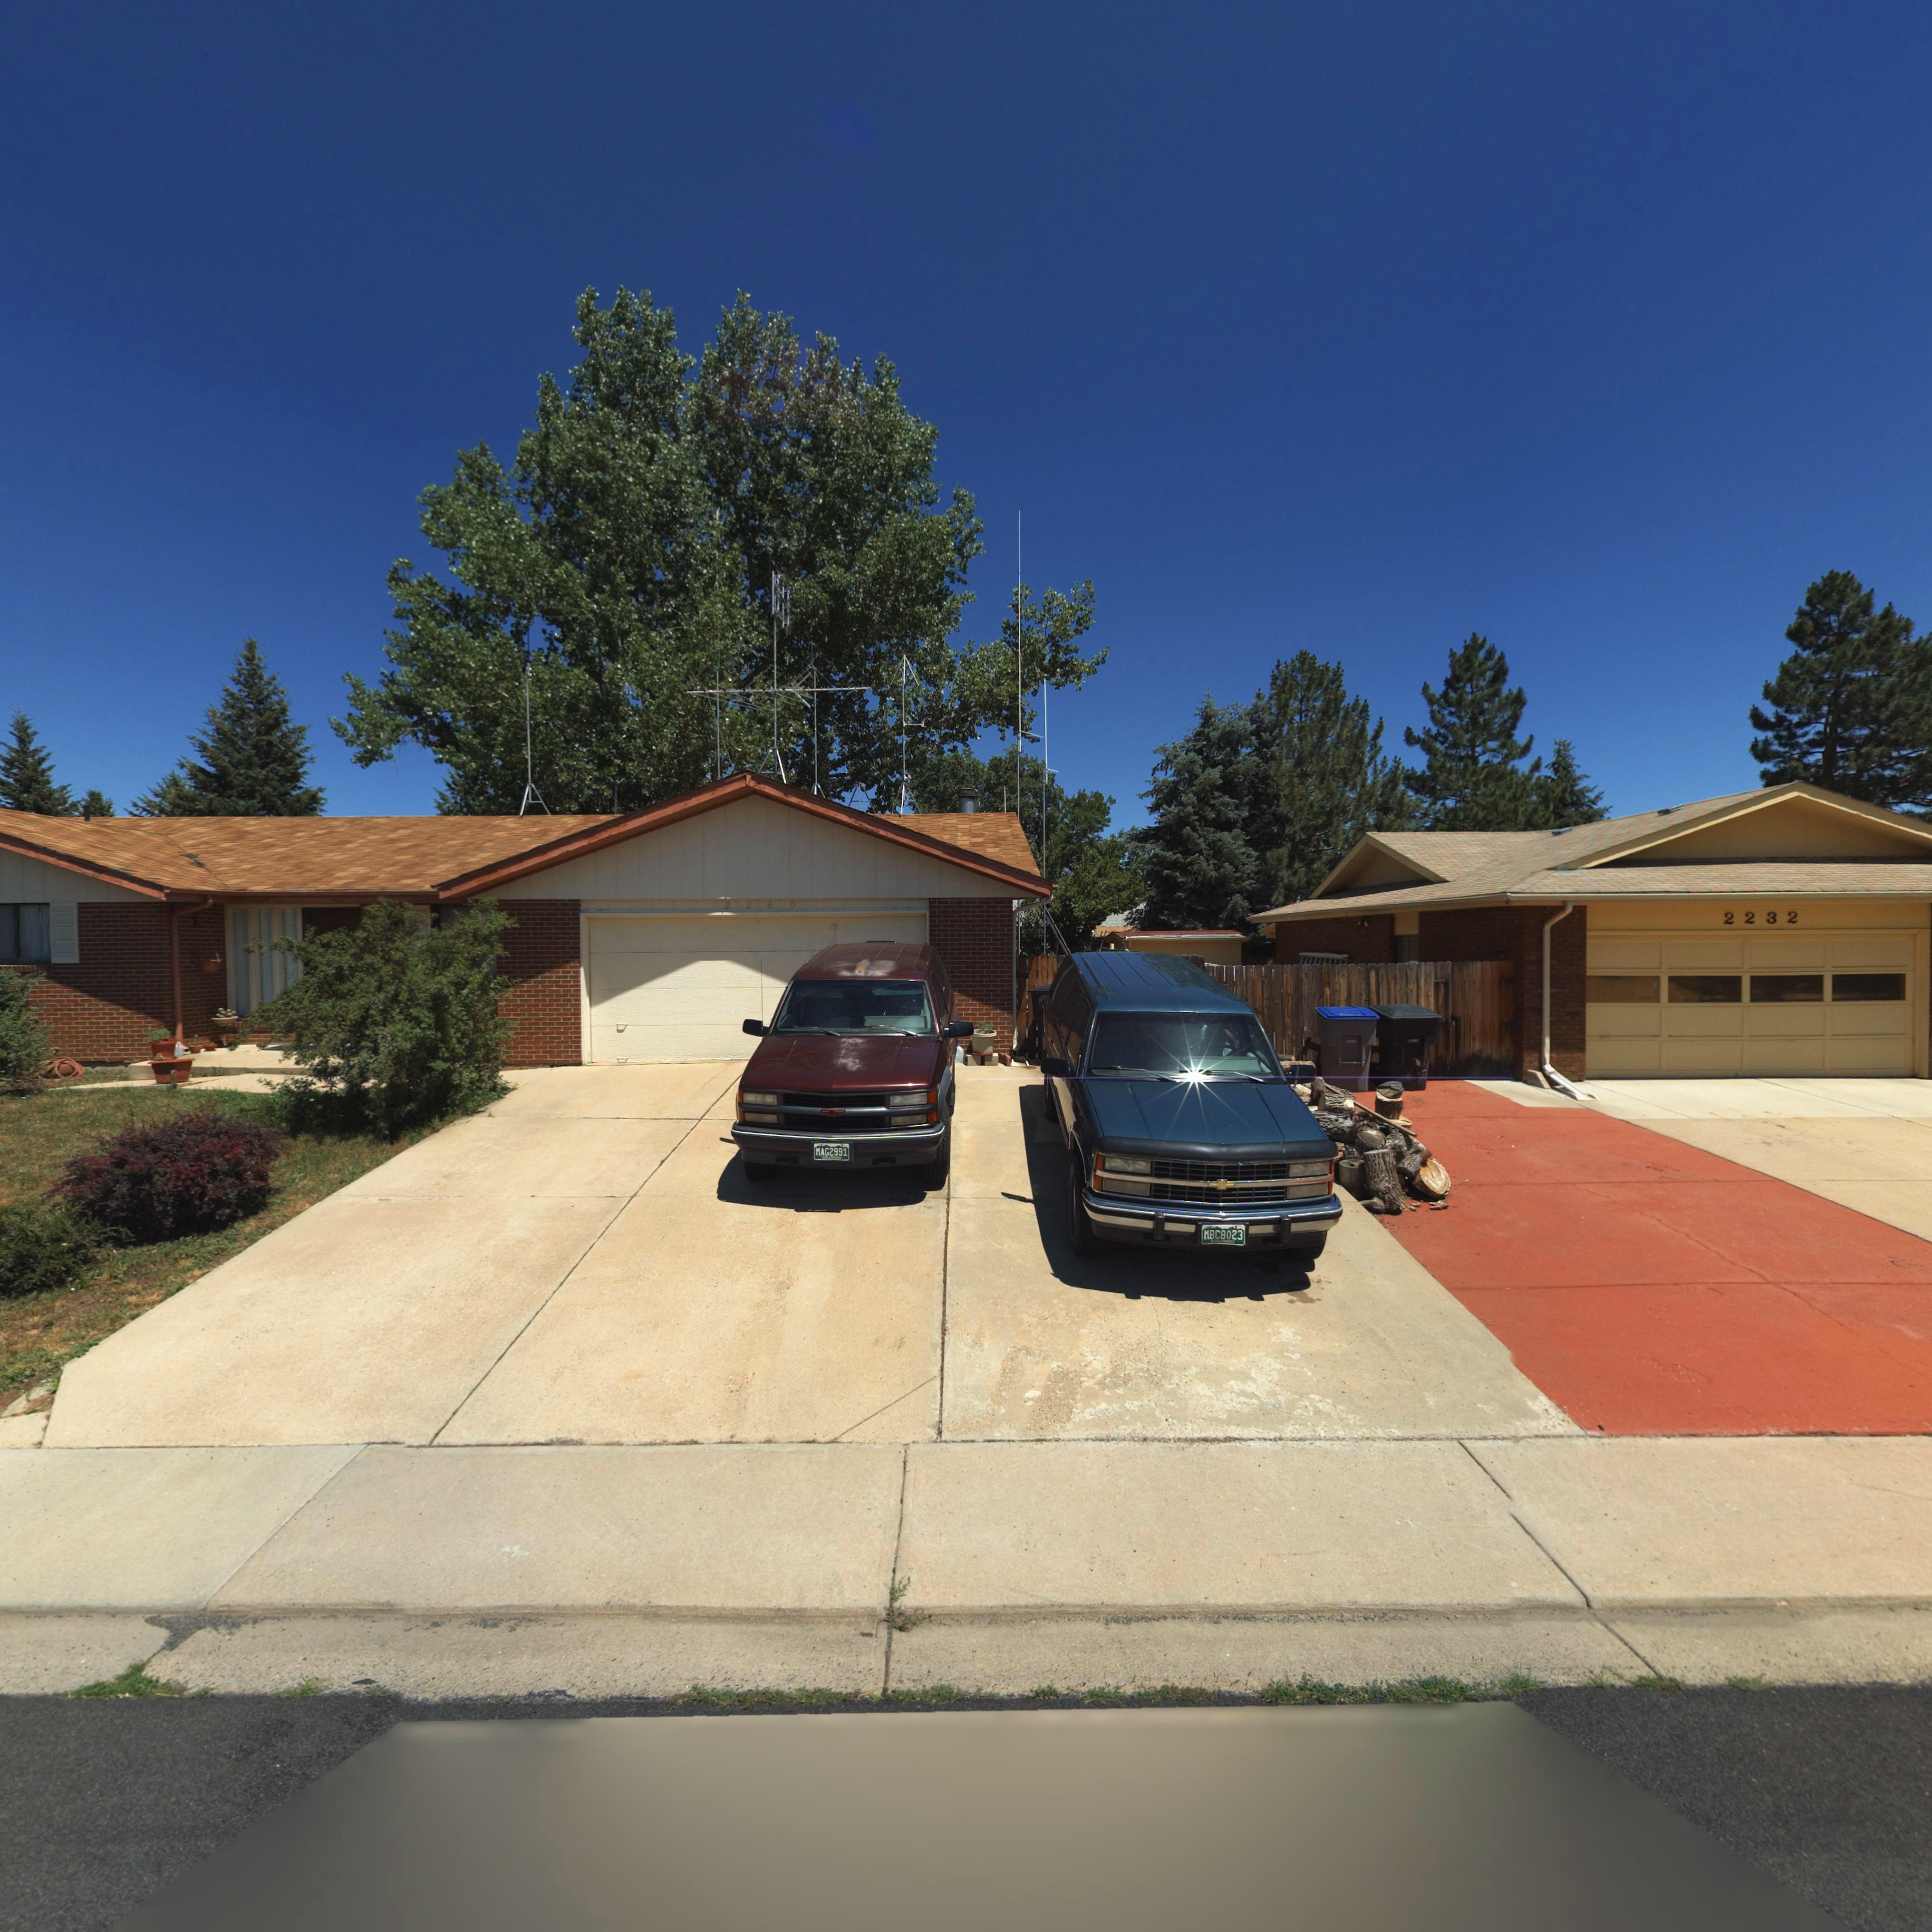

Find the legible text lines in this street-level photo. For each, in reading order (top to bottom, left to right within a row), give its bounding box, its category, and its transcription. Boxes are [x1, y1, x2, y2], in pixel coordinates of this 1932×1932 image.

[1718, 910, 1800, 927] StreetNumber: 2232